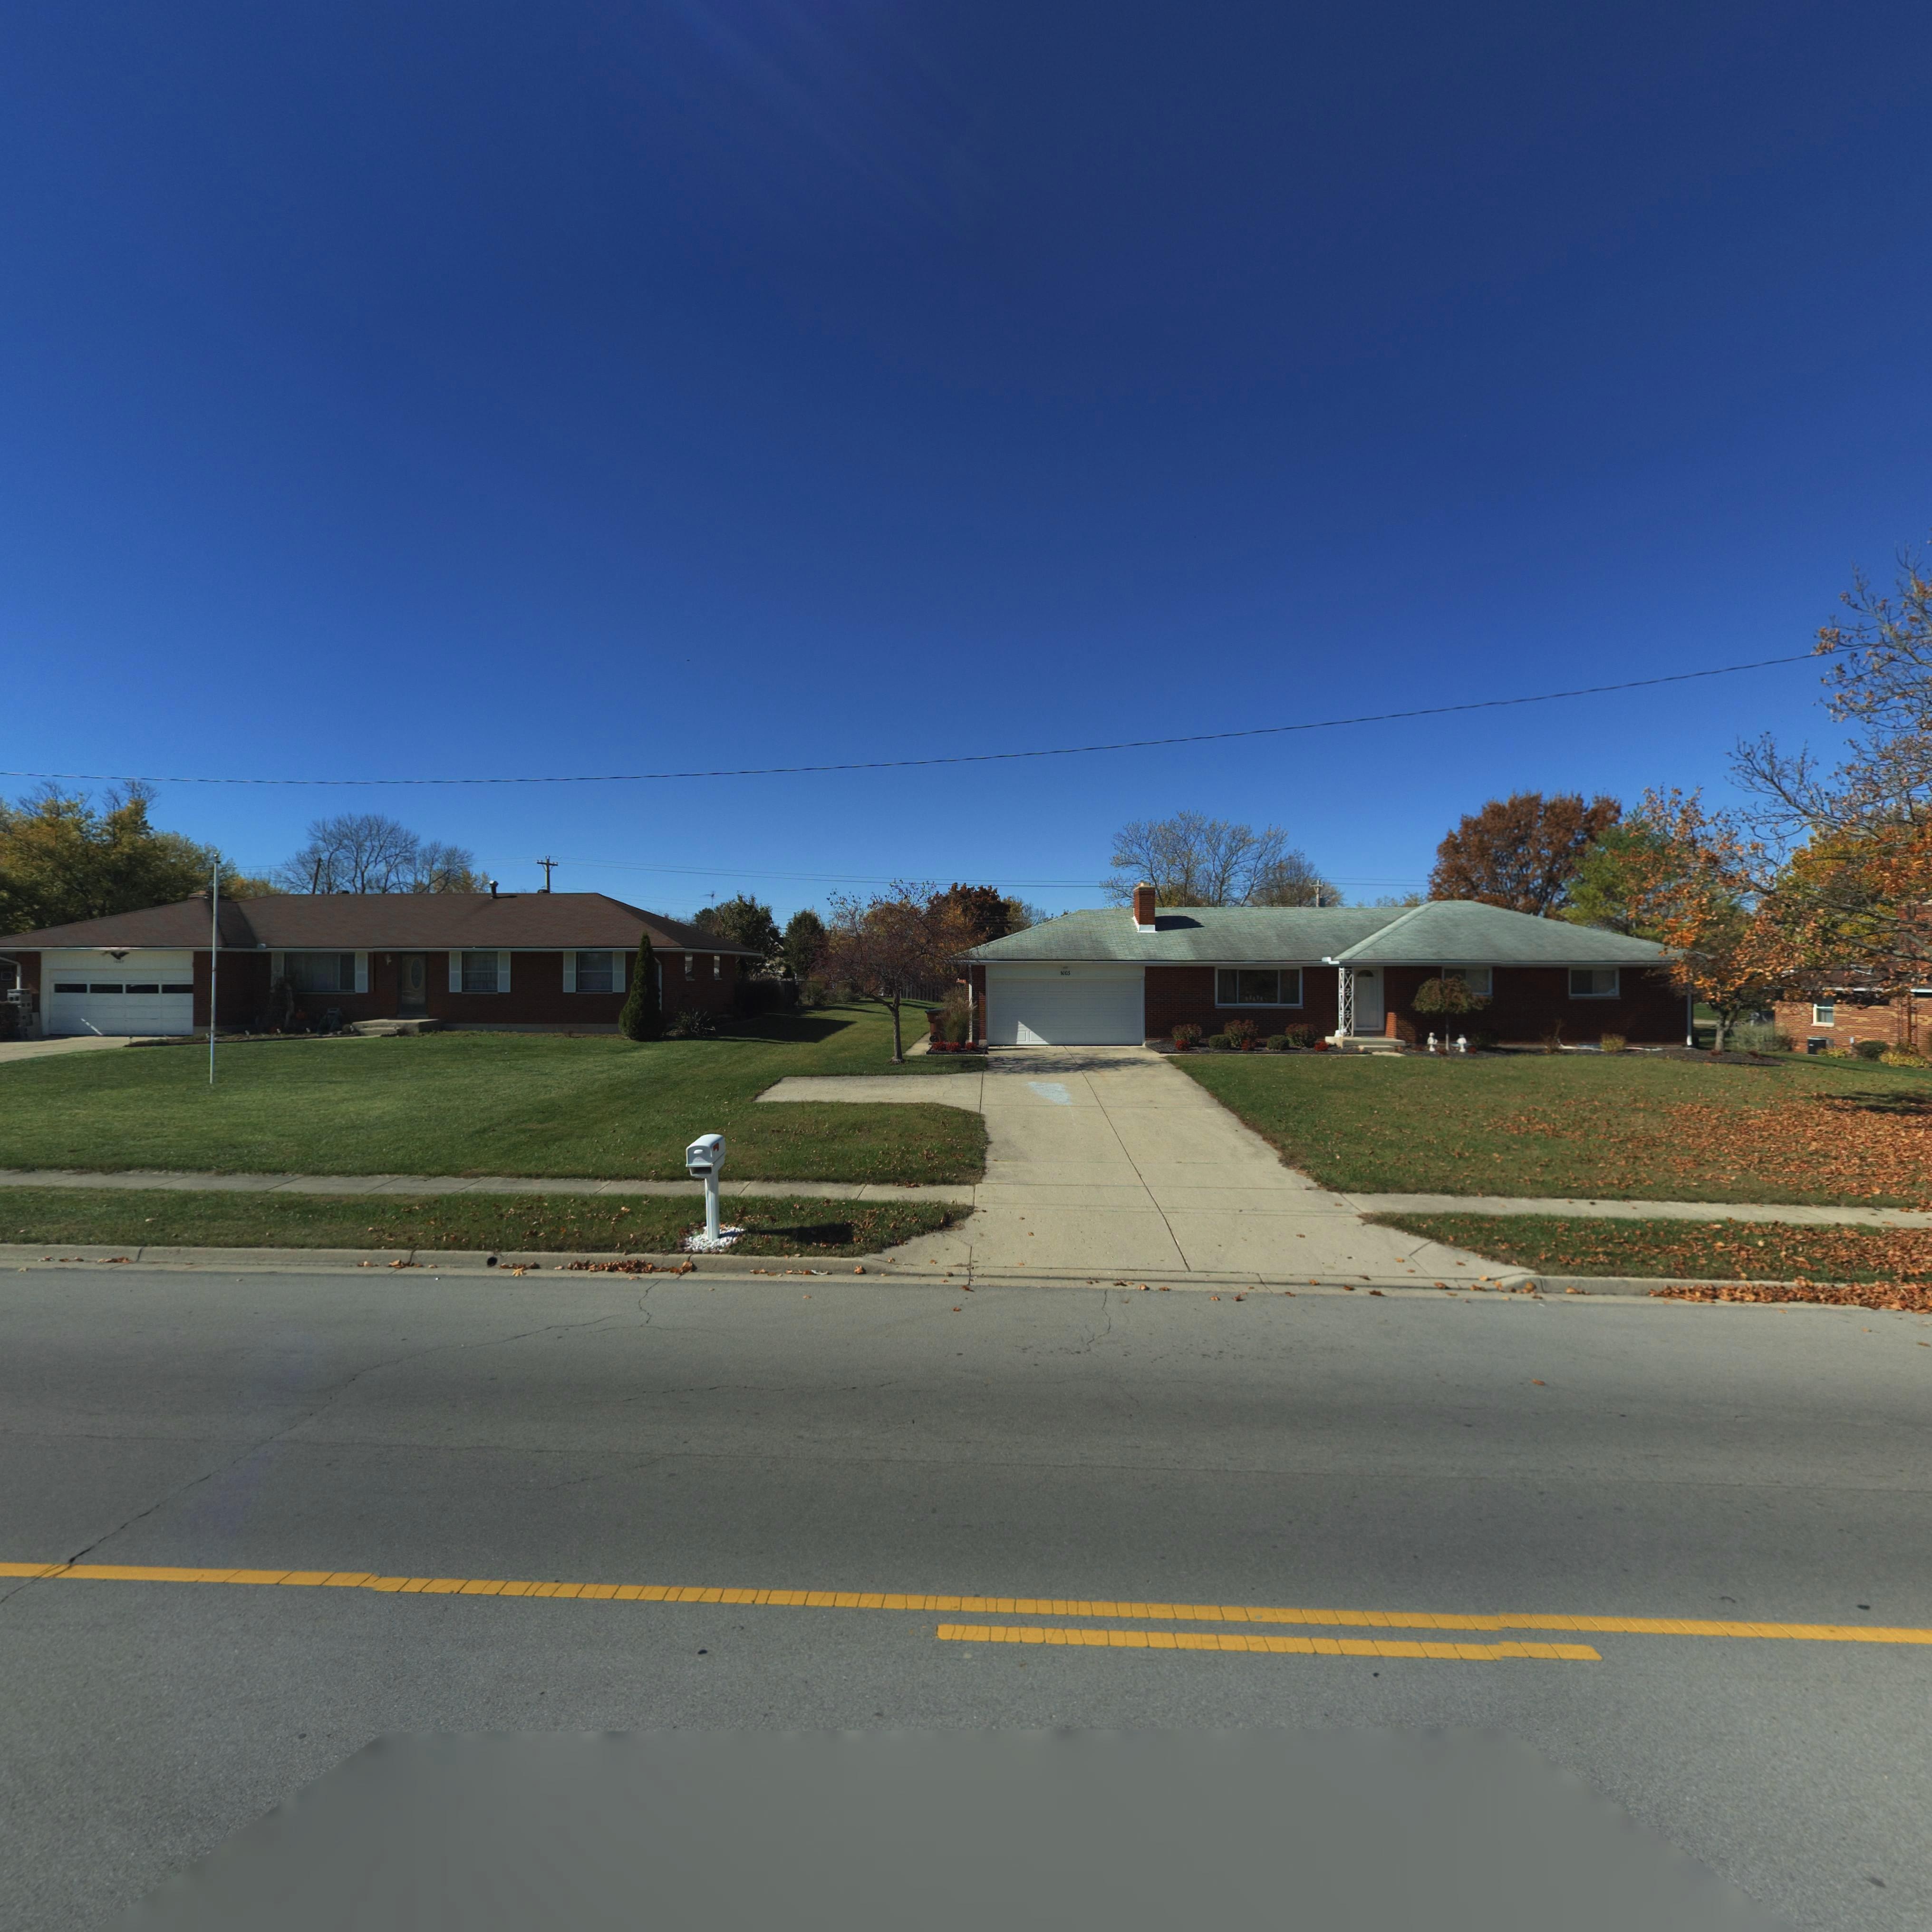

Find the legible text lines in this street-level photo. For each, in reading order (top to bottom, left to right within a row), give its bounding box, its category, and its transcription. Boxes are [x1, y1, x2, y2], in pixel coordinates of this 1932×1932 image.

[1060, 970, 1071, 976] StreetNumber: 1005